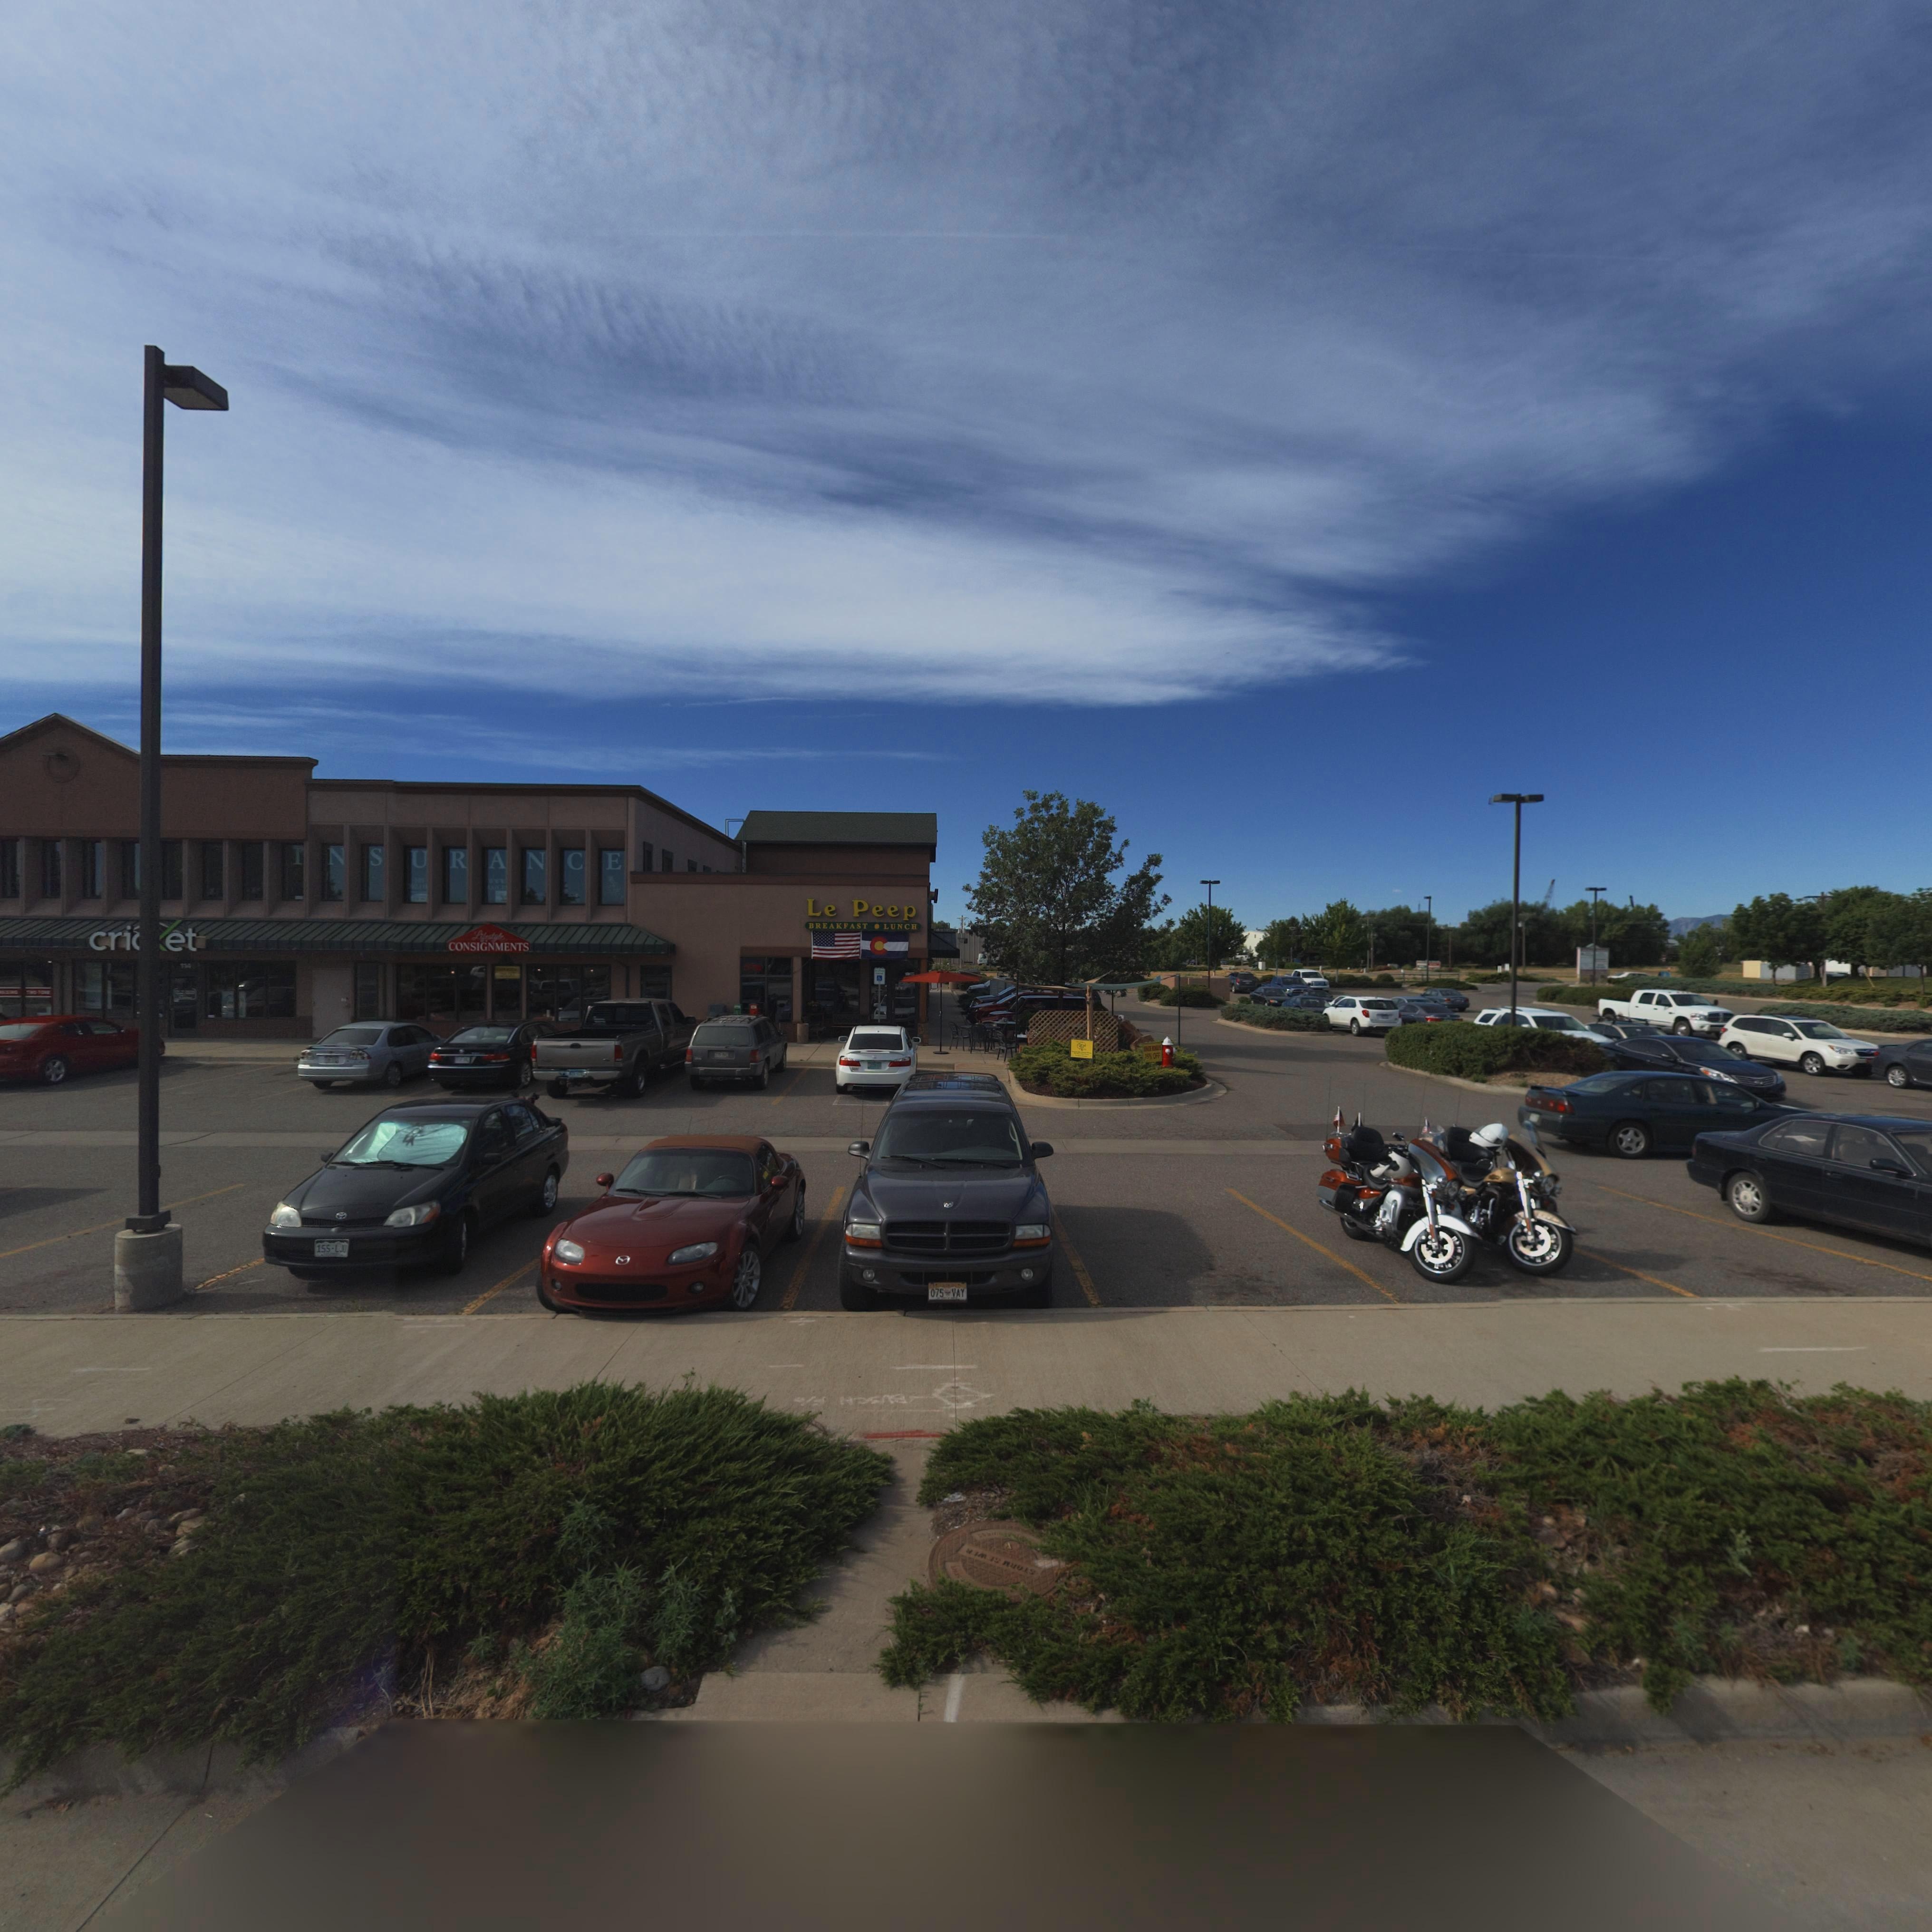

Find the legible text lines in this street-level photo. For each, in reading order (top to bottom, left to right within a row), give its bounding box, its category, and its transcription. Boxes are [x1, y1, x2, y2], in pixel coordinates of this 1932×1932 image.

[806, 898, 918, 921] BusinessName: Le Peep
[88, 924, 135, 952] BusinessName: cri
[164, 927, 198, 954] BusinessName: et
[449, 941, 529, 952] BusinessName: CONSIGNMENTS